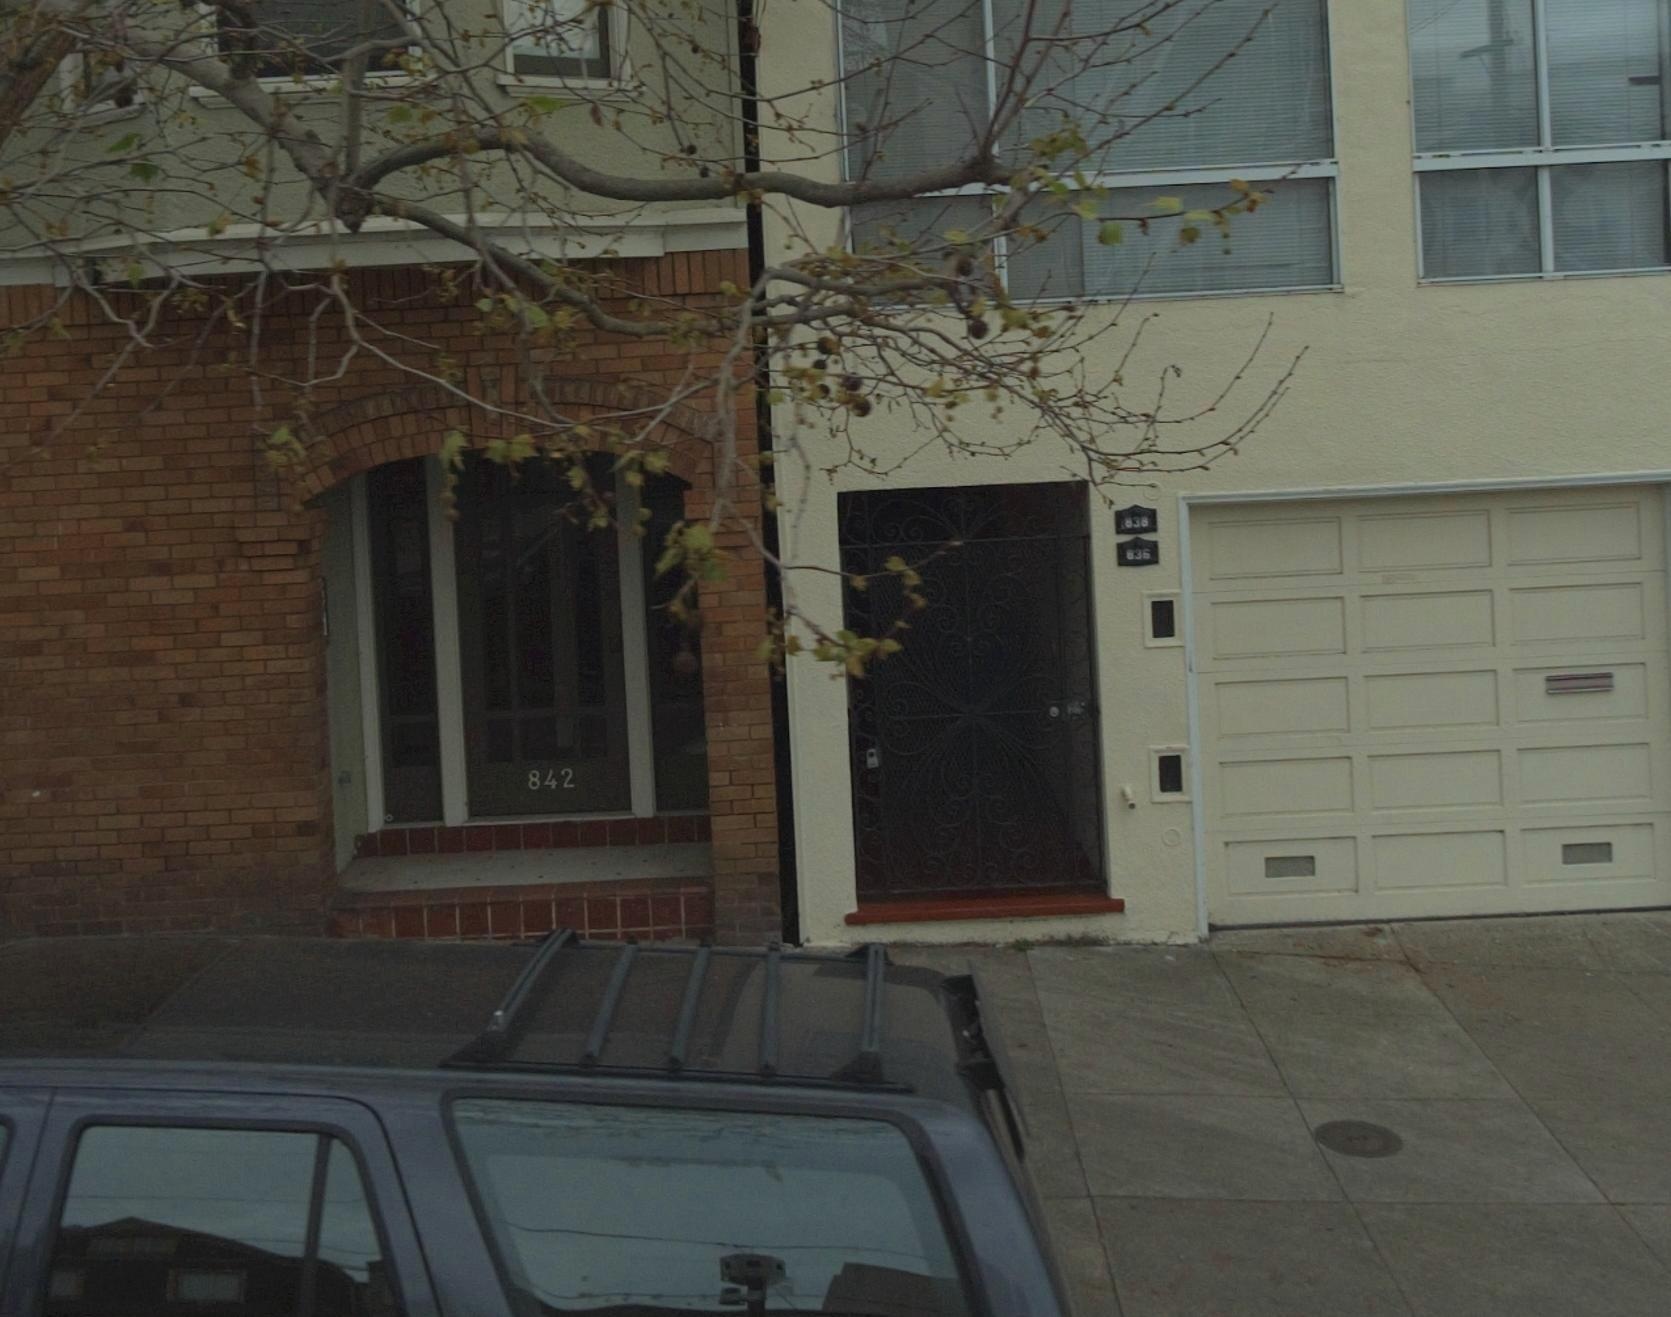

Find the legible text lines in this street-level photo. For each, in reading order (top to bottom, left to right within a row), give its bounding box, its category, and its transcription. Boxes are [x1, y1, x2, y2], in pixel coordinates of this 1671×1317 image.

[1124, 515, 1149, 529] StreetNumber: 838
[1125, 548, 1152, 560] StreetNumber: 836
[526, 767, 576, 791] StreetNumber: 842